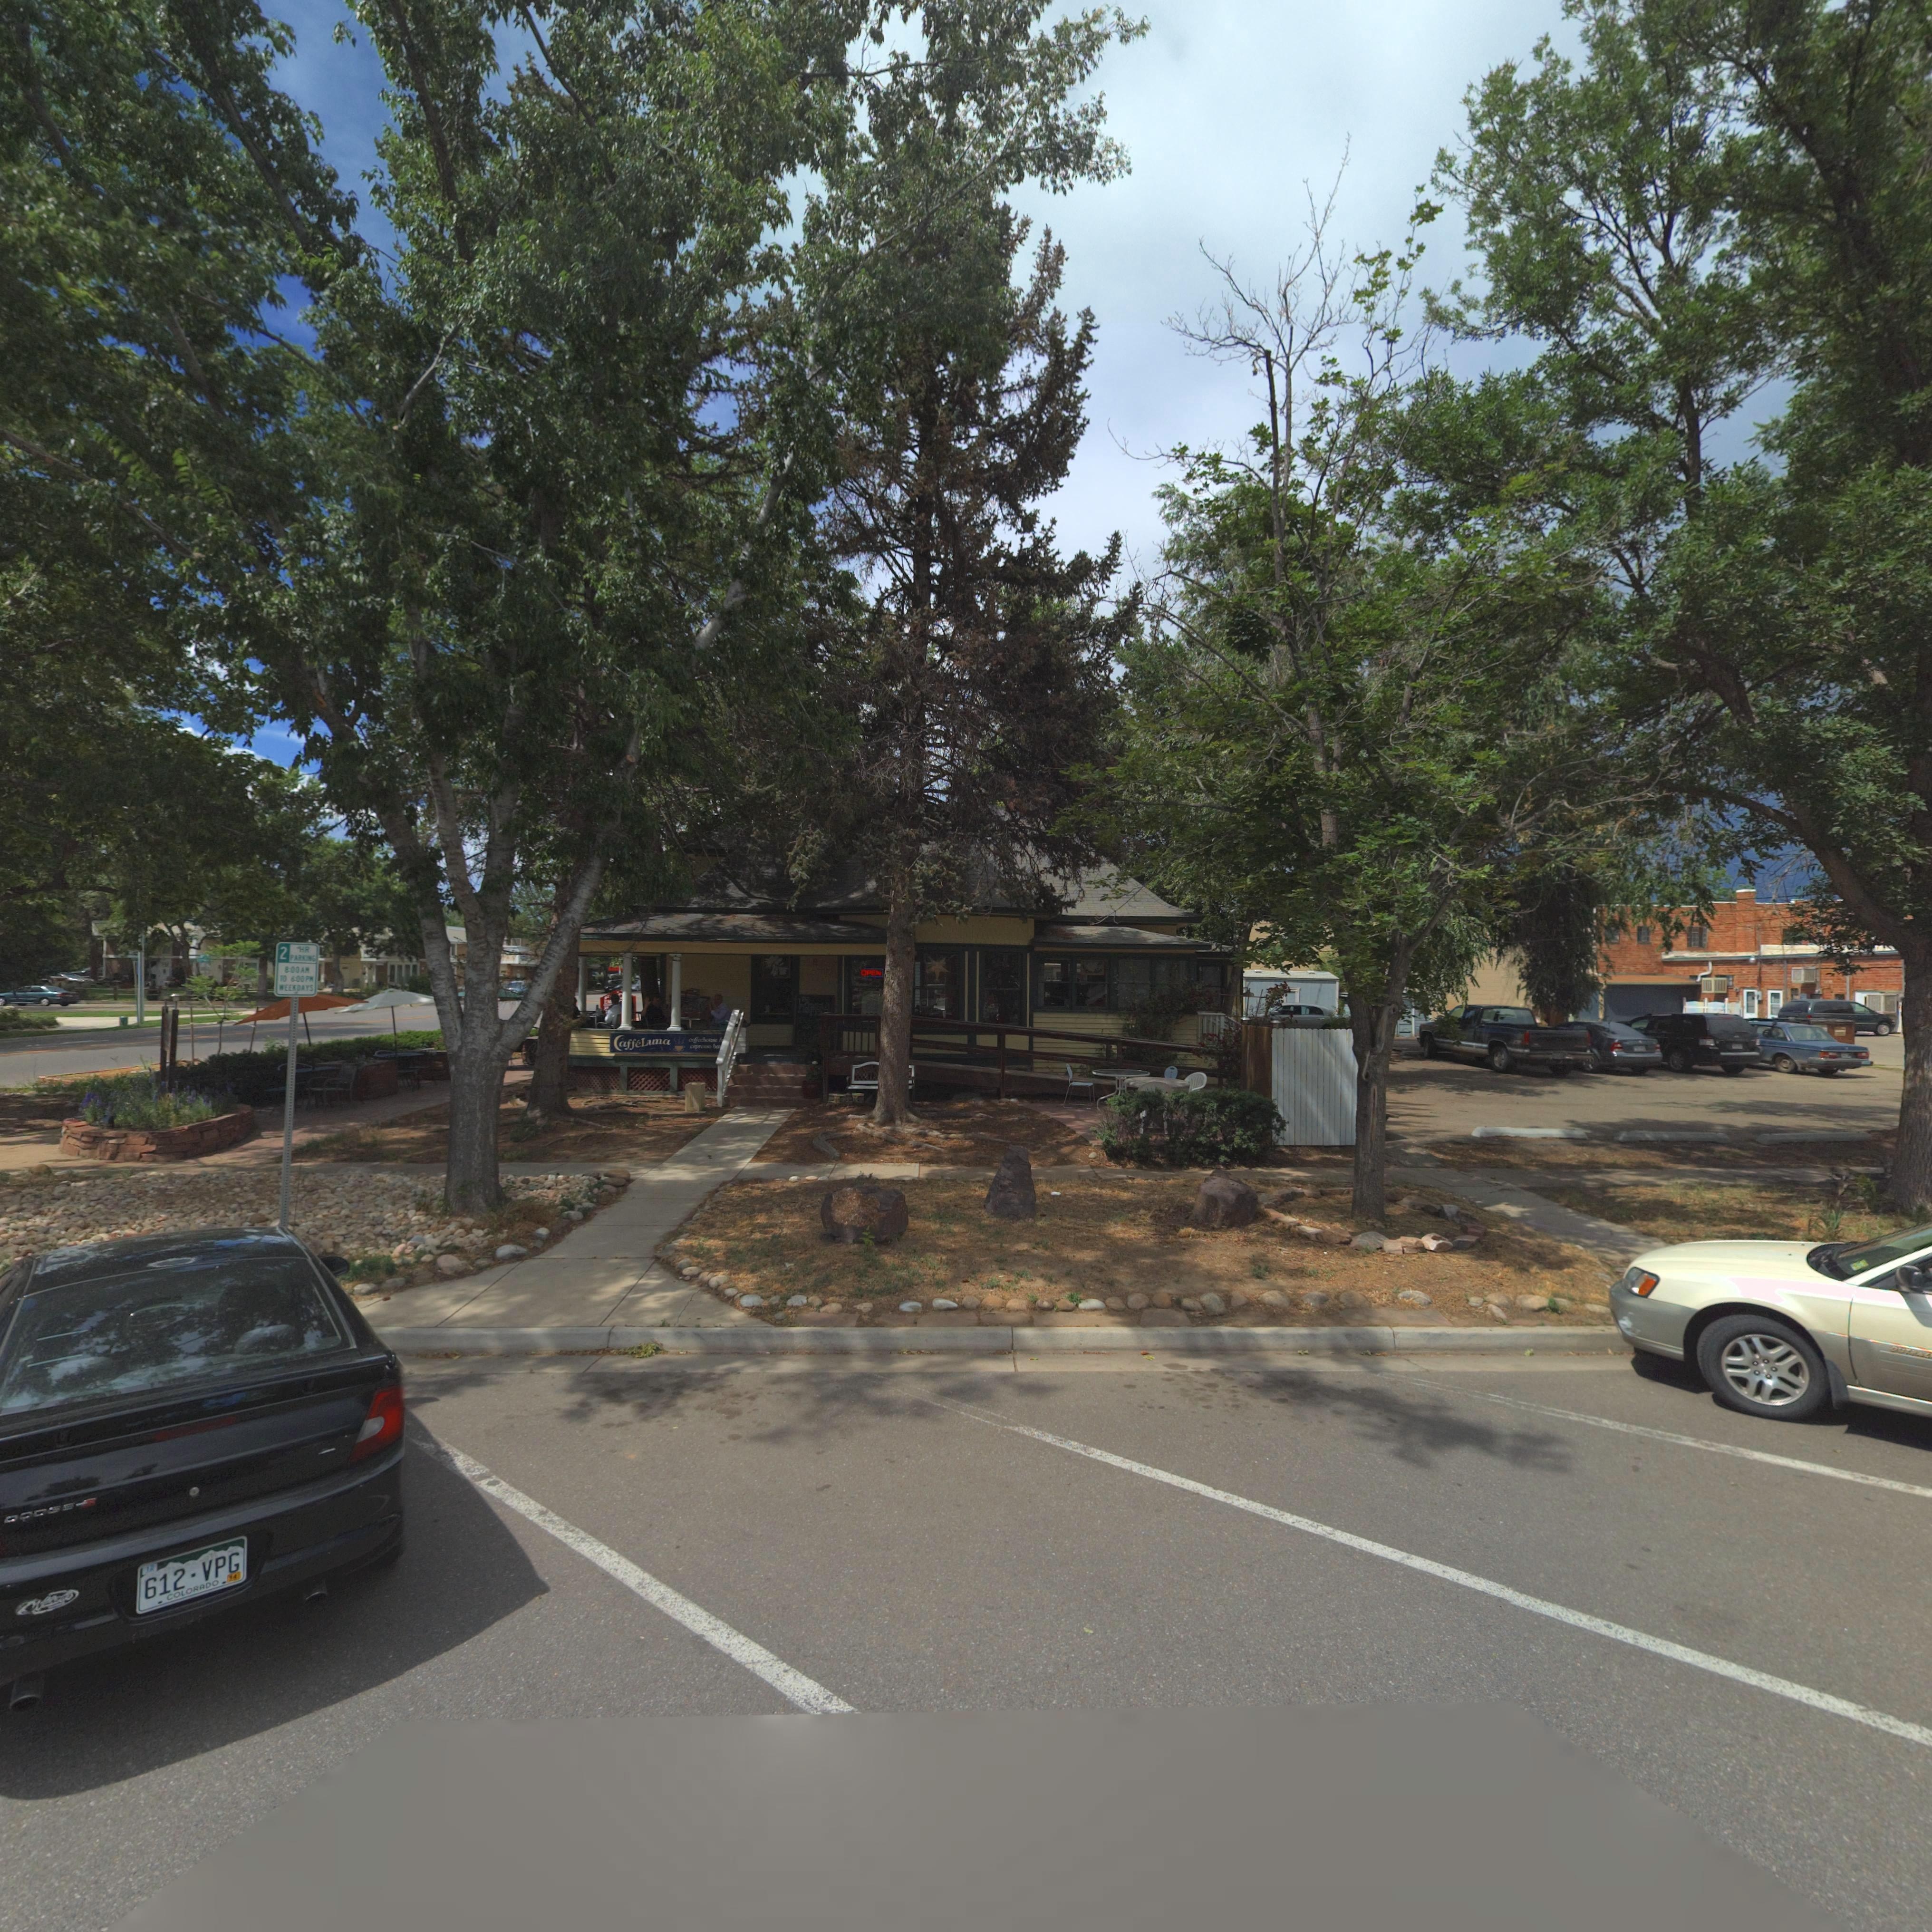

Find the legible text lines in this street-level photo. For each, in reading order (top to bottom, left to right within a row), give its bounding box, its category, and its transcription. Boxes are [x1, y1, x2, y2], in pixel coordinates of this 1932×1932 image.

[612, 1034, 671, 1052] BusinessName: Caff*Lama